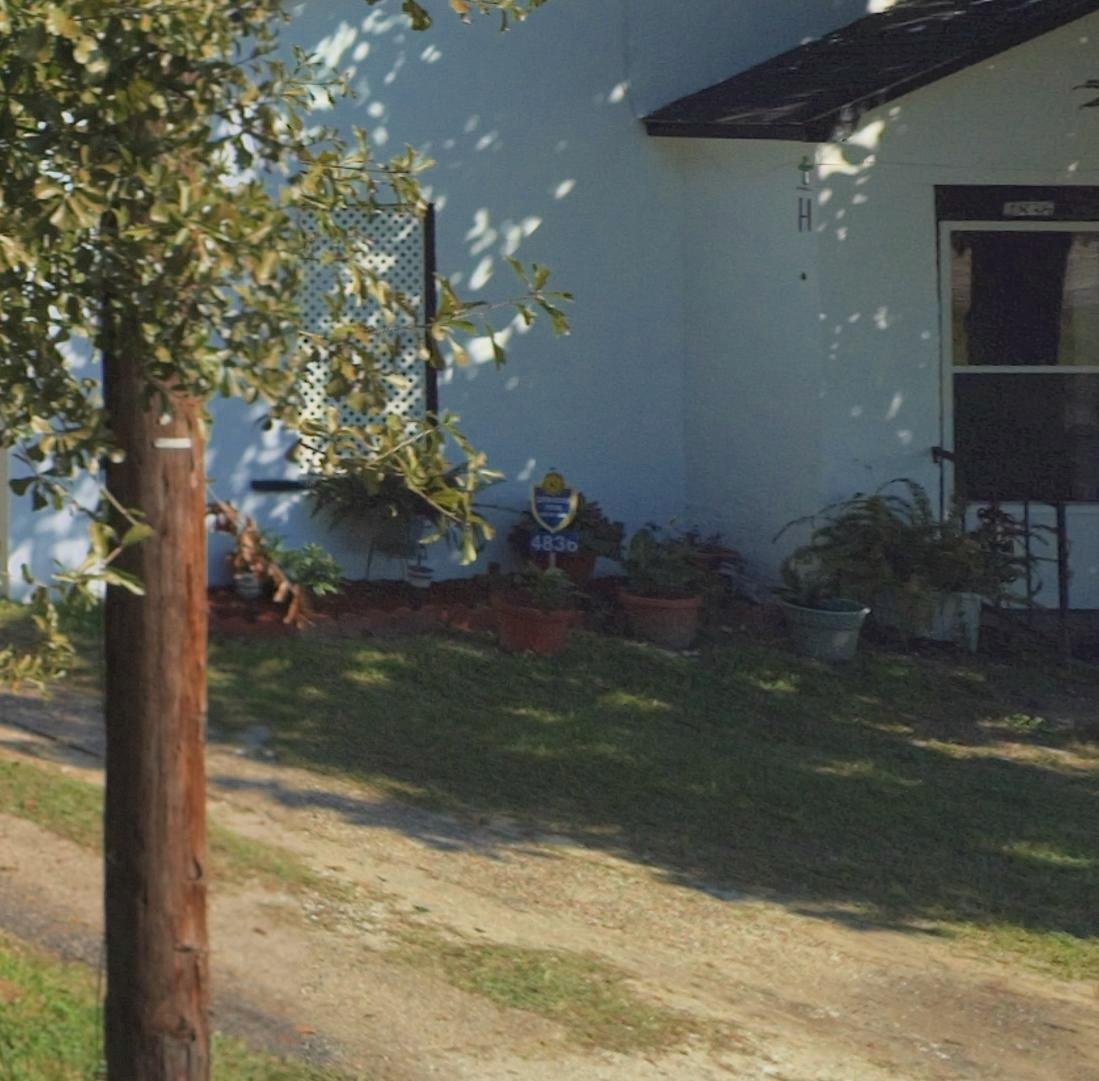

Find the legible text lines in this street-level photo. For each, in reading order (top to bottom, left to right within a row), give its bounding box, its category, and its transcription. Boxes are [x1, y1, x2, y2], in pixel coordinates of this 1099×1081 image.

[1006, 202, 1055, 217] StreetNumber: 1**6
[530, 534, 578, 553] StreetNumber: 483*